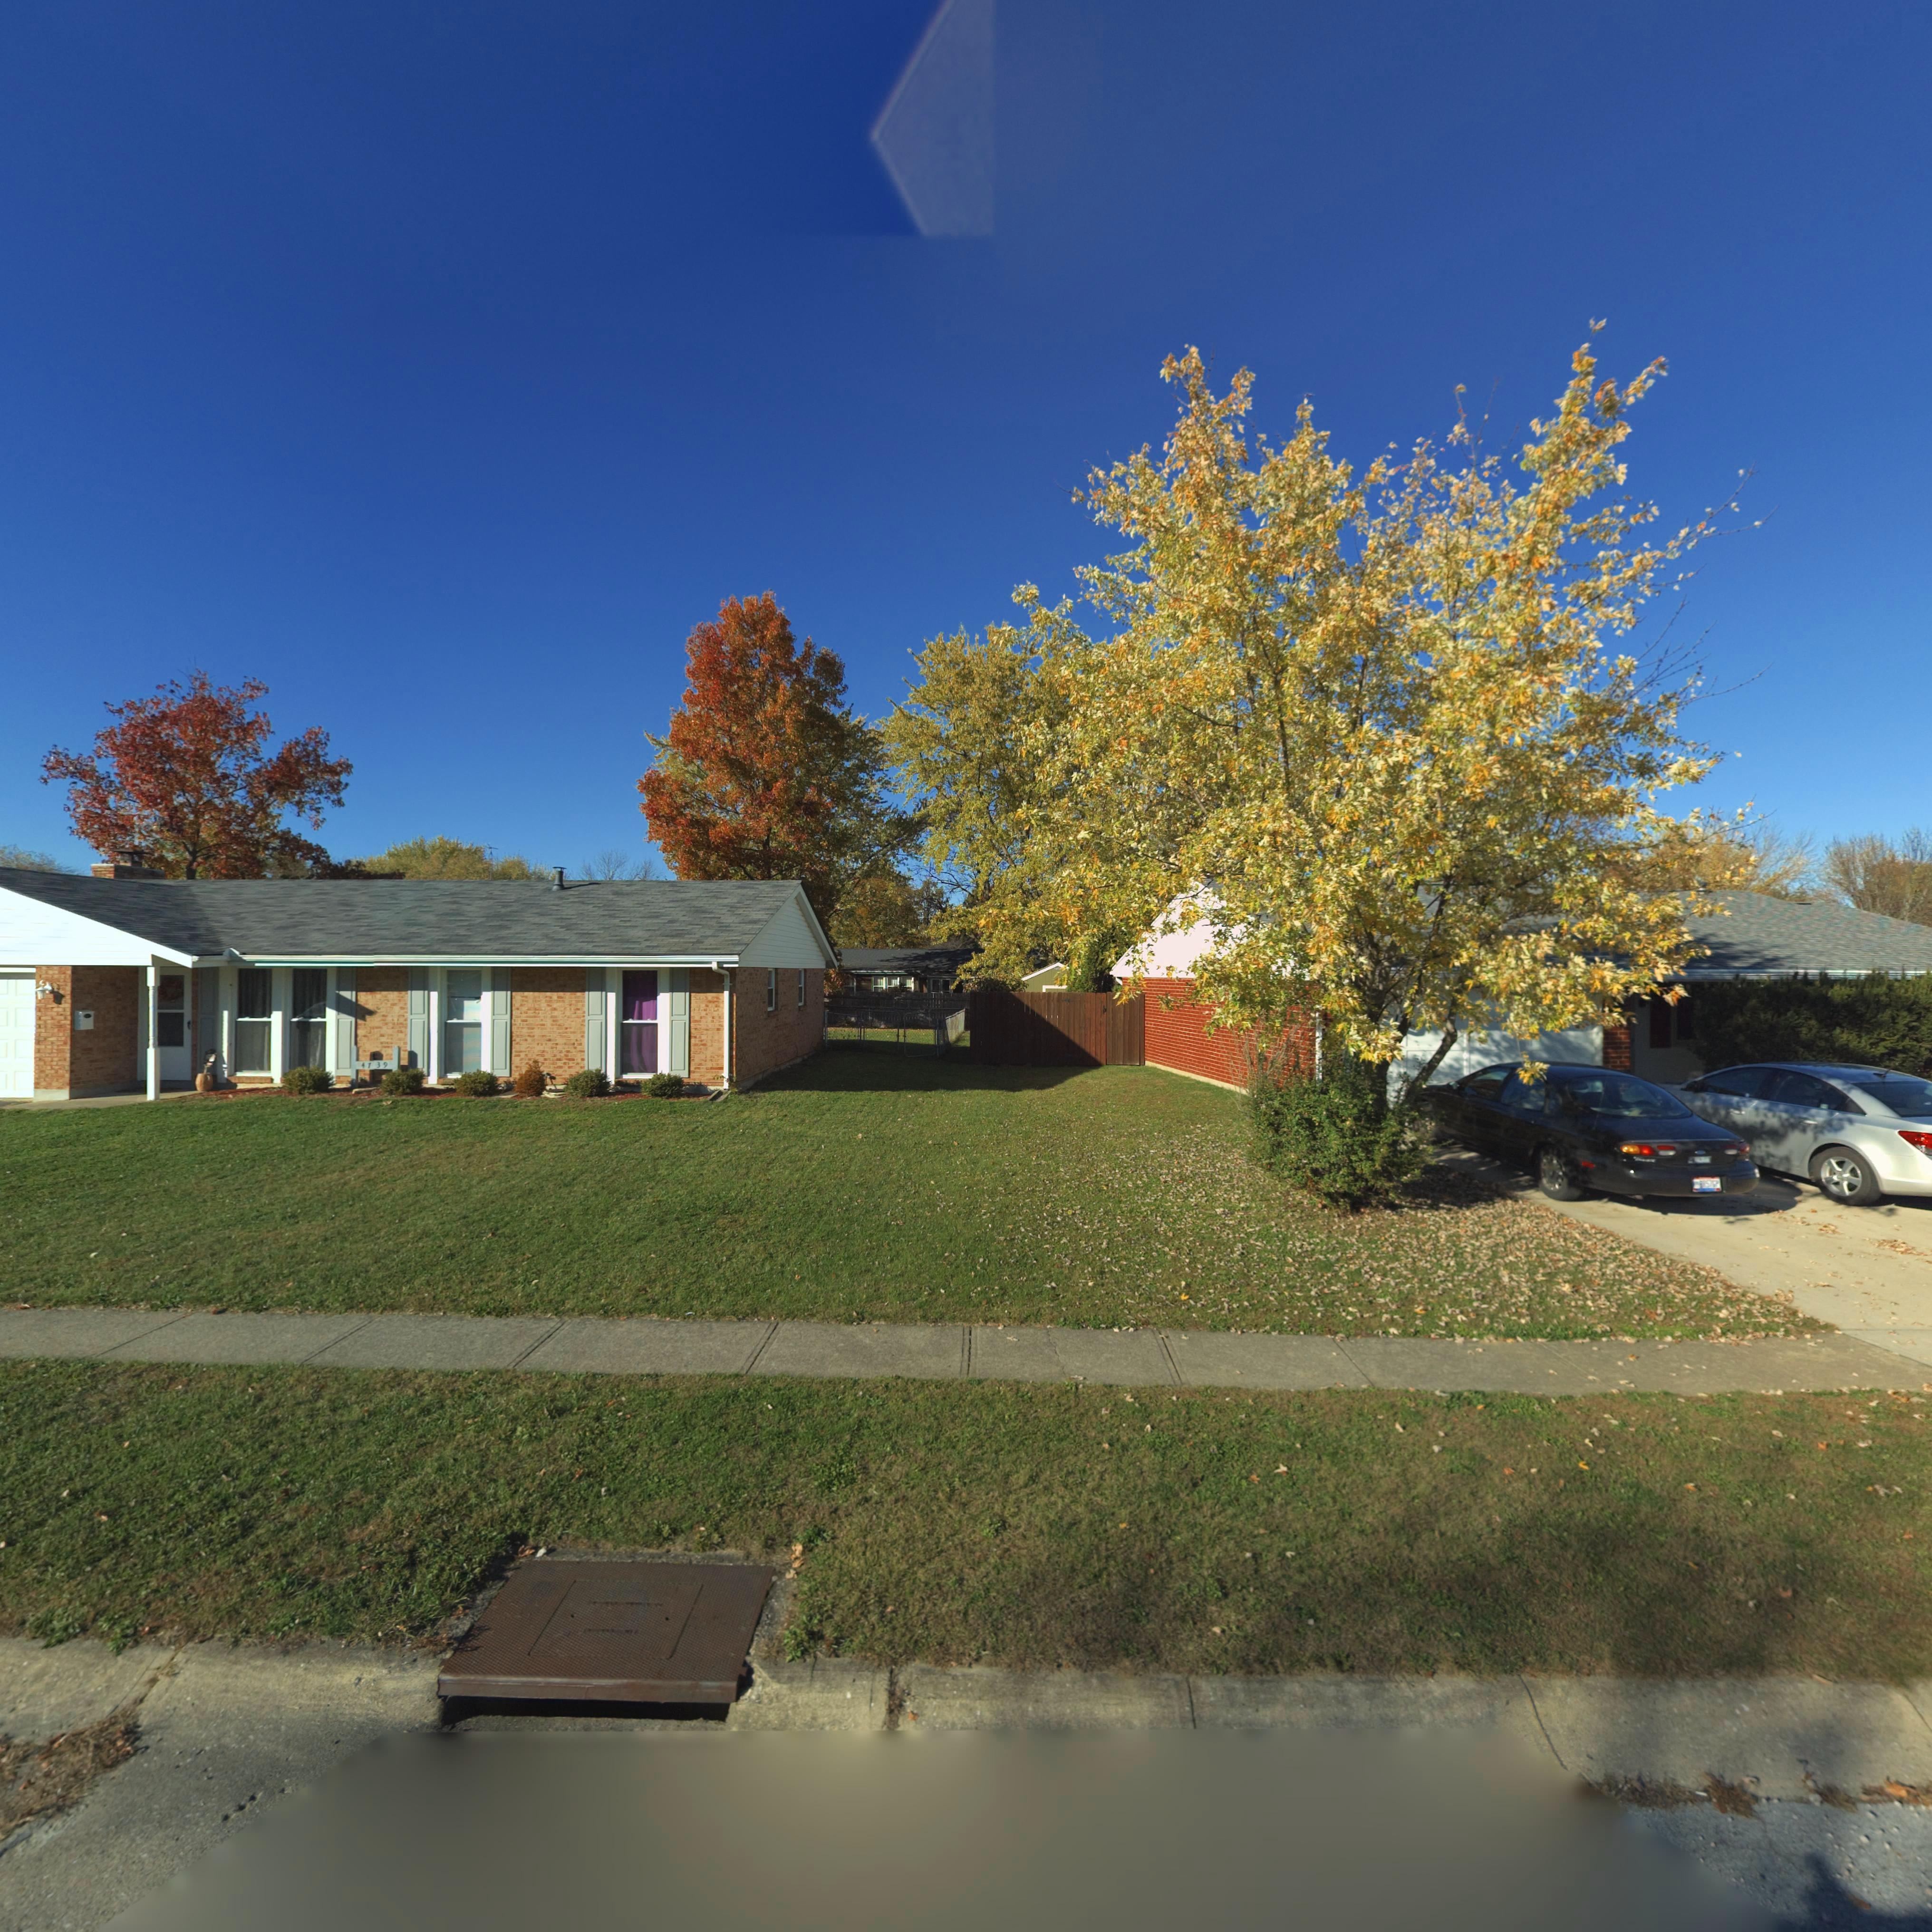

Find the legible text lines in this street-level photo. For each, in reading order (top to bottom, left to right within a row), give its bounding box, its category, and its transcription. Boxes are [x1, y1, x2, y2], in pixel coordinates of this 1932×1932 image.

[359, 1061, 389, 1070] StreetNumber: 47 39